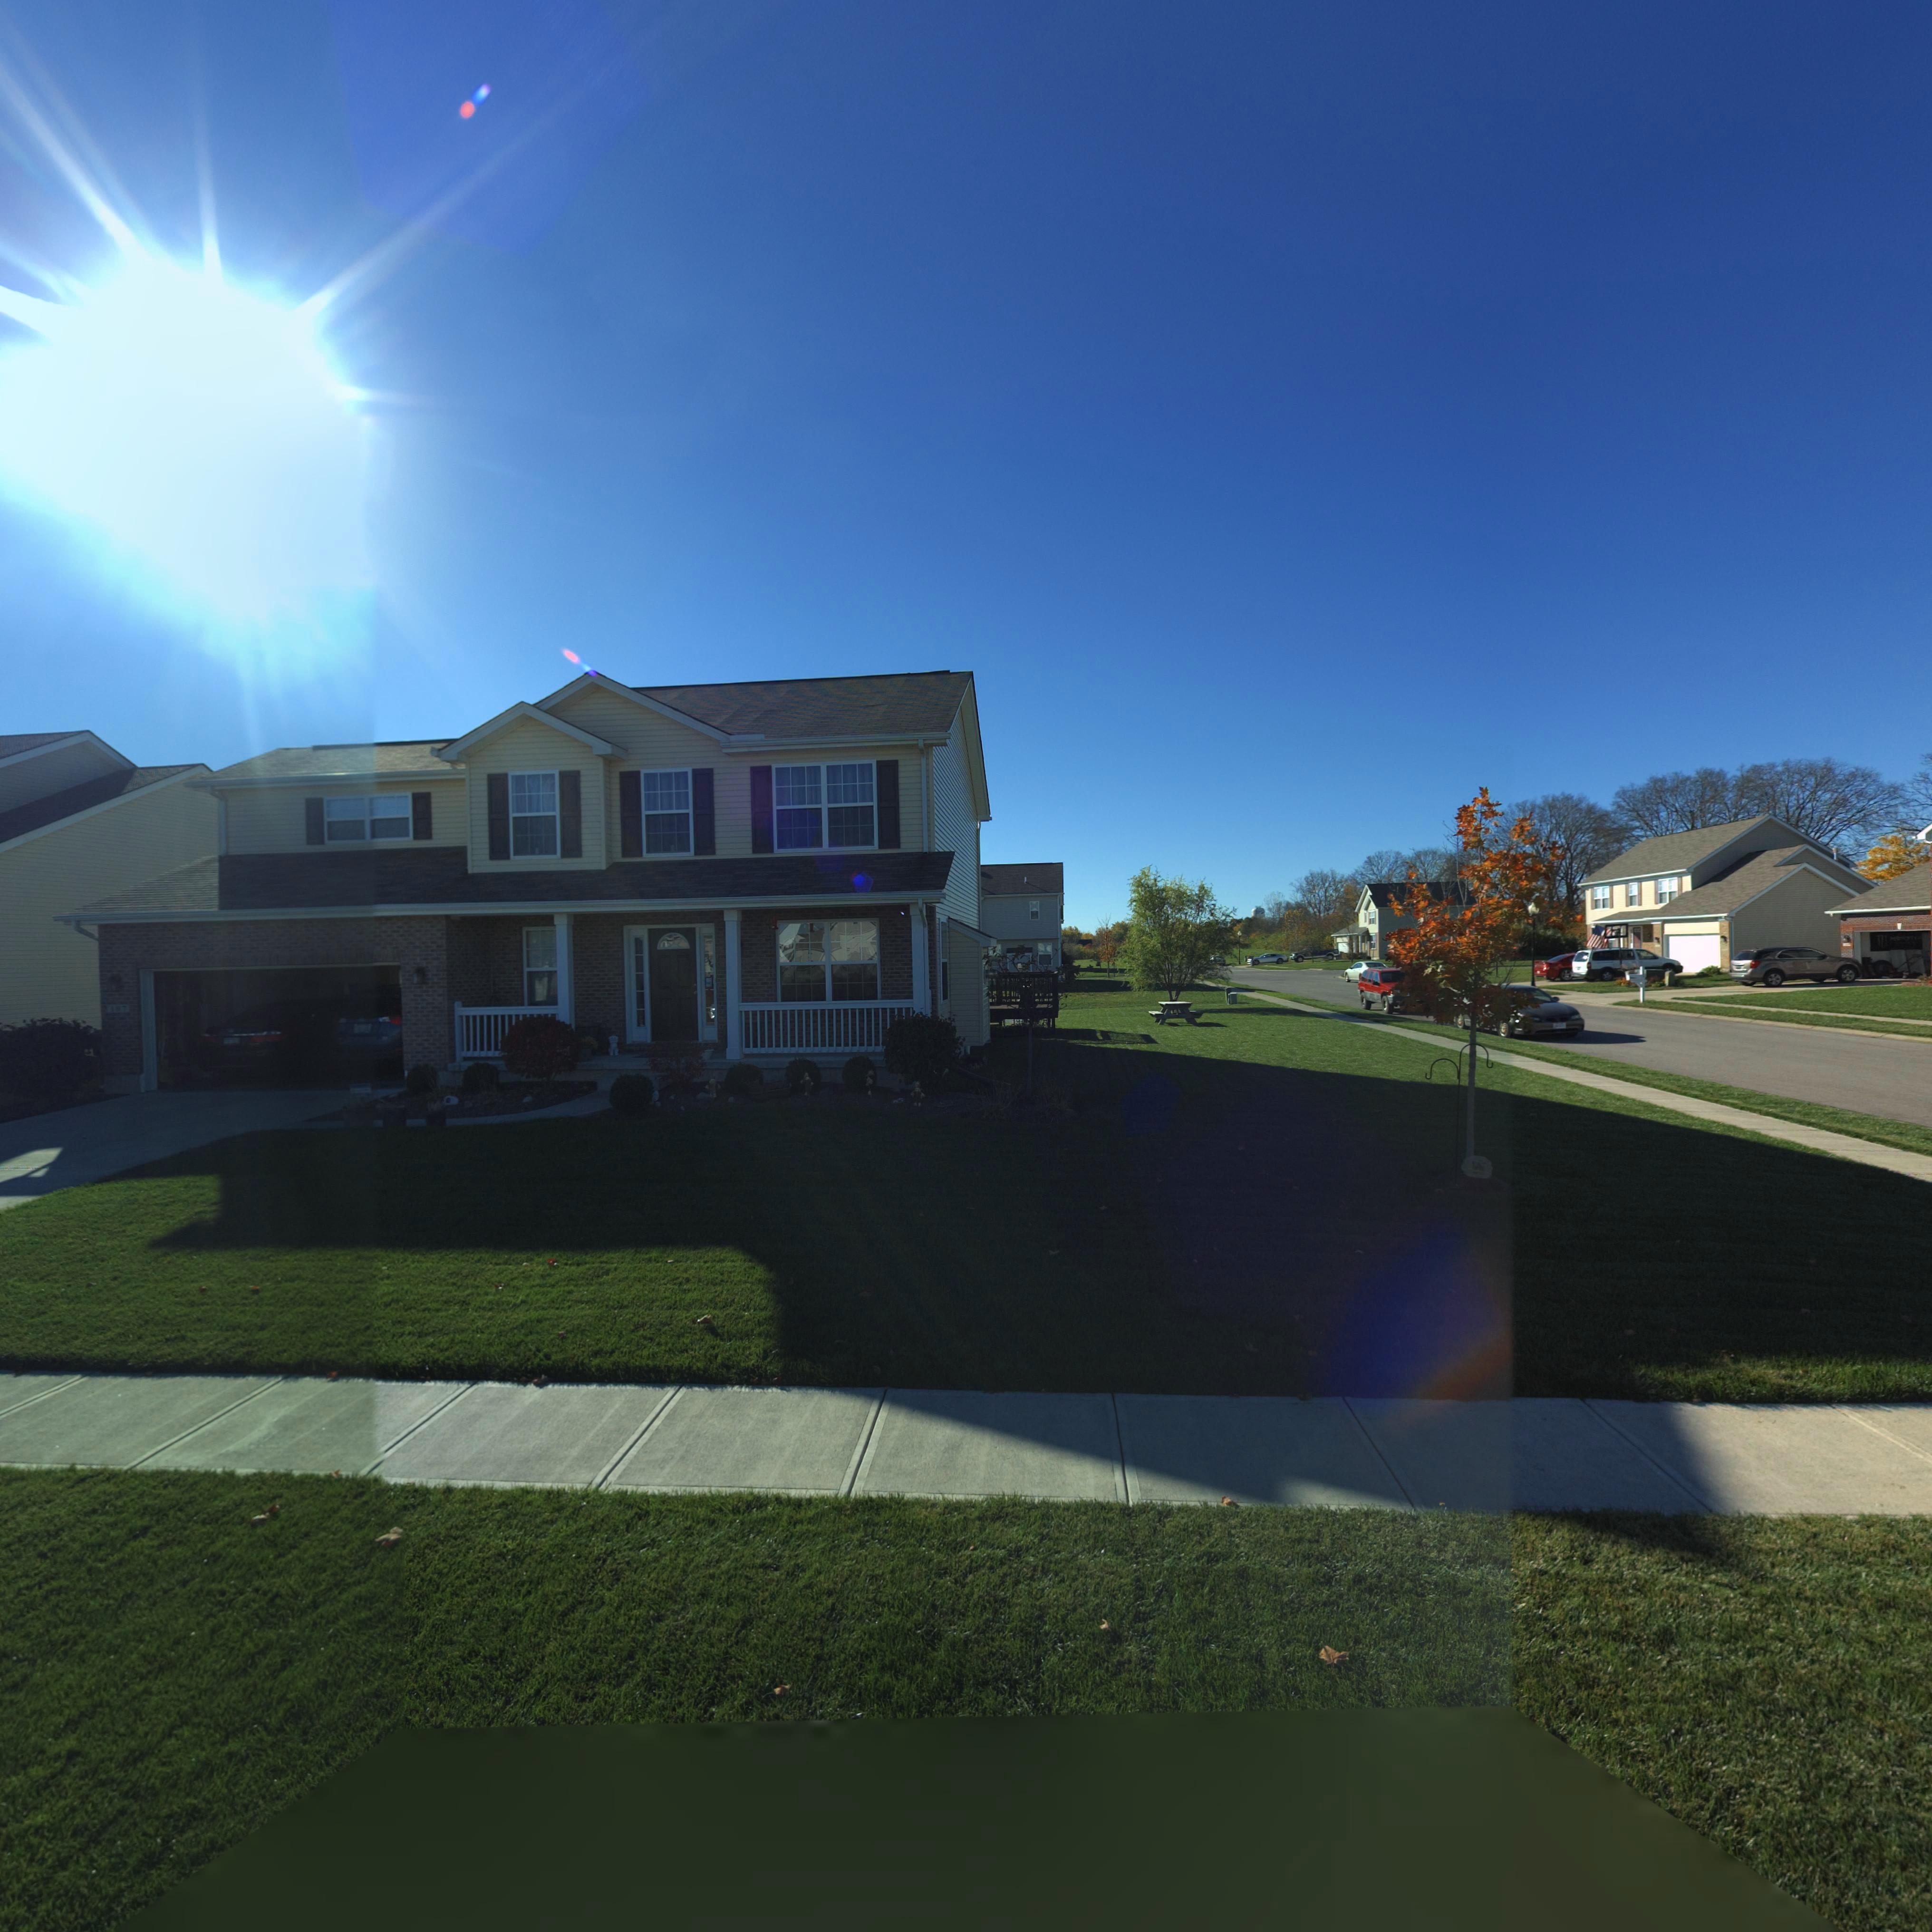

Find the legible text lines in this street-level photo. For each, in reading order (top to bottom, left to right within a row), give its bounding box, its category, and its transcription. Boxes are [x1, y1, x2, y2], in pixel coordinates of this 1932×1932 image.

[110, 1005, 127, 1012] StreetNumber: 187